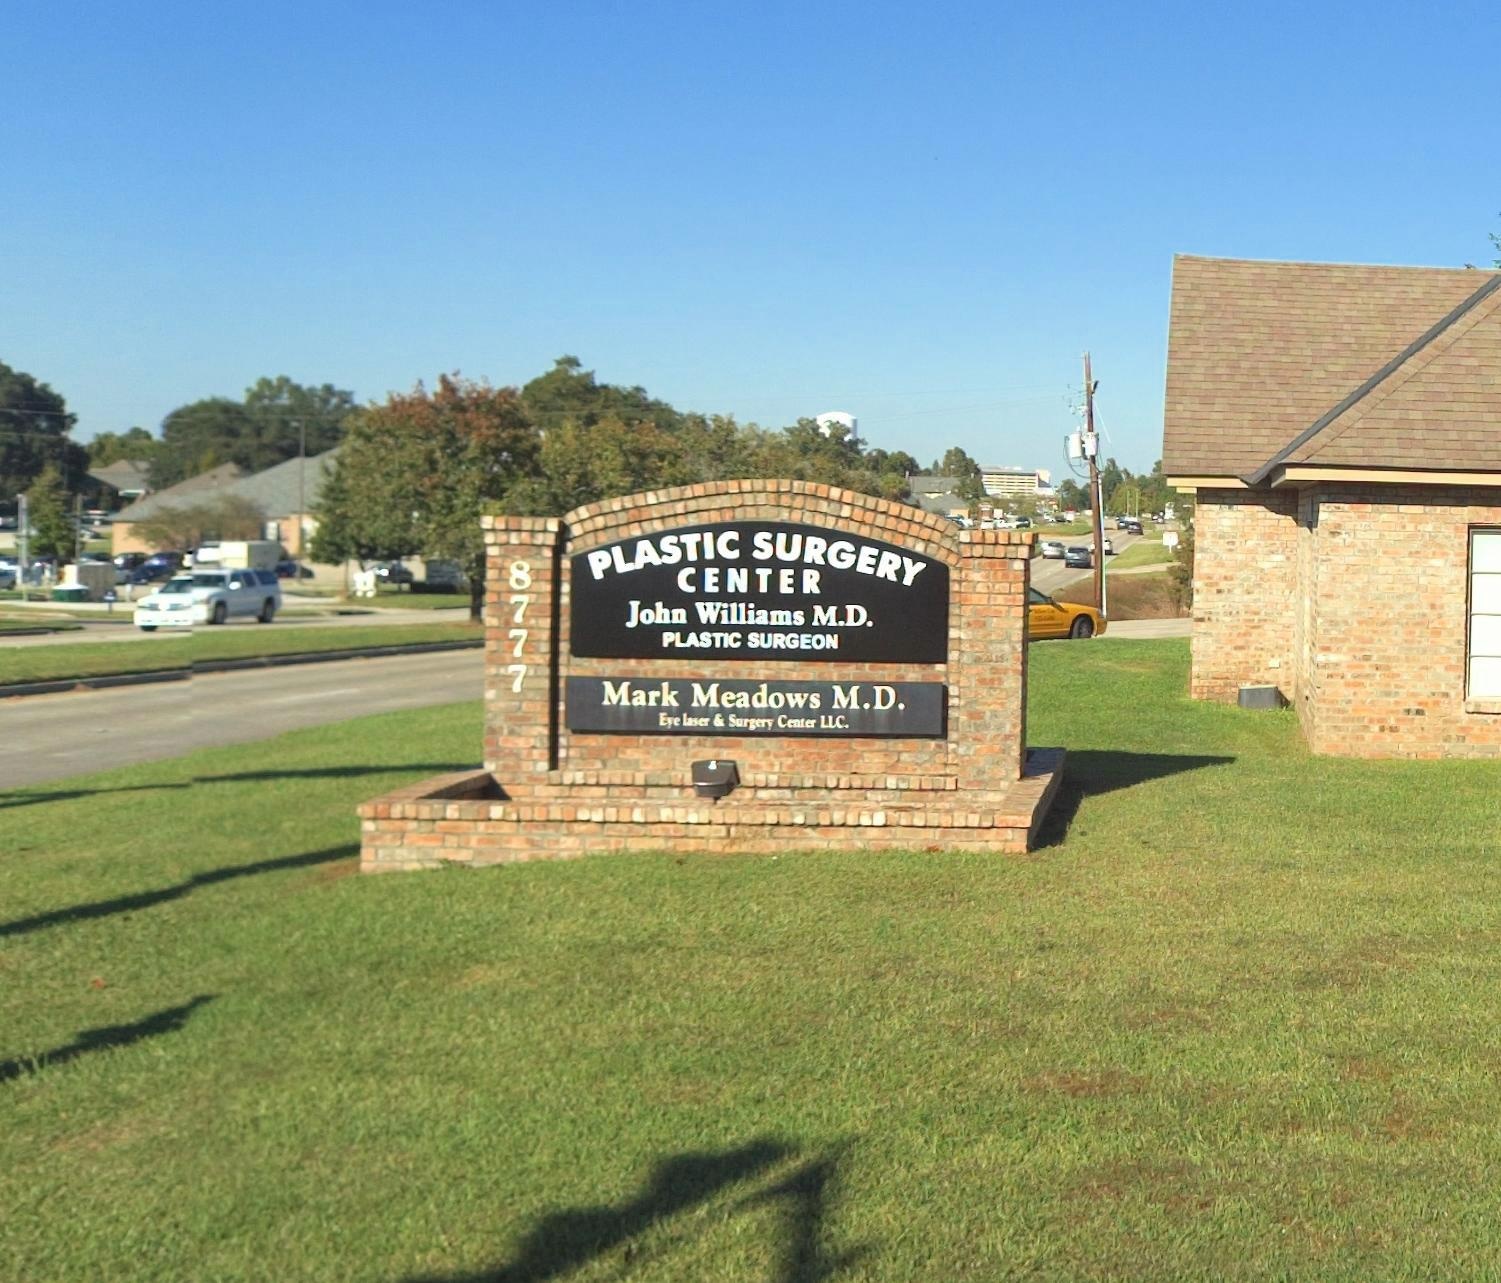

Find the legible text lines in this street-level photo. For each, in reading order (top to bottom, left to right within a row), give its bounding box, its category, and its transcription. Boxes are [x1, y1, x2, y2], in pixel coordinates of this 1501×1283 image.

[584, 529, 932, 588] BusinessName: PLASTIC SURGERY
[676, 566, 822, 595] BusinessName: CENTER
[506, 559, 533, 694] StreetNumber: 8777
[624, 599, 875, 629] None: John Williams M.D.
[661, 630, 840, 651] None: PLASTIC SURGEON
[600, 680, 907, 711] None: Mark Meadows M.D.
[657, 711, 851, 732] BusinessName: Eye laser & Surgery Center LLC.